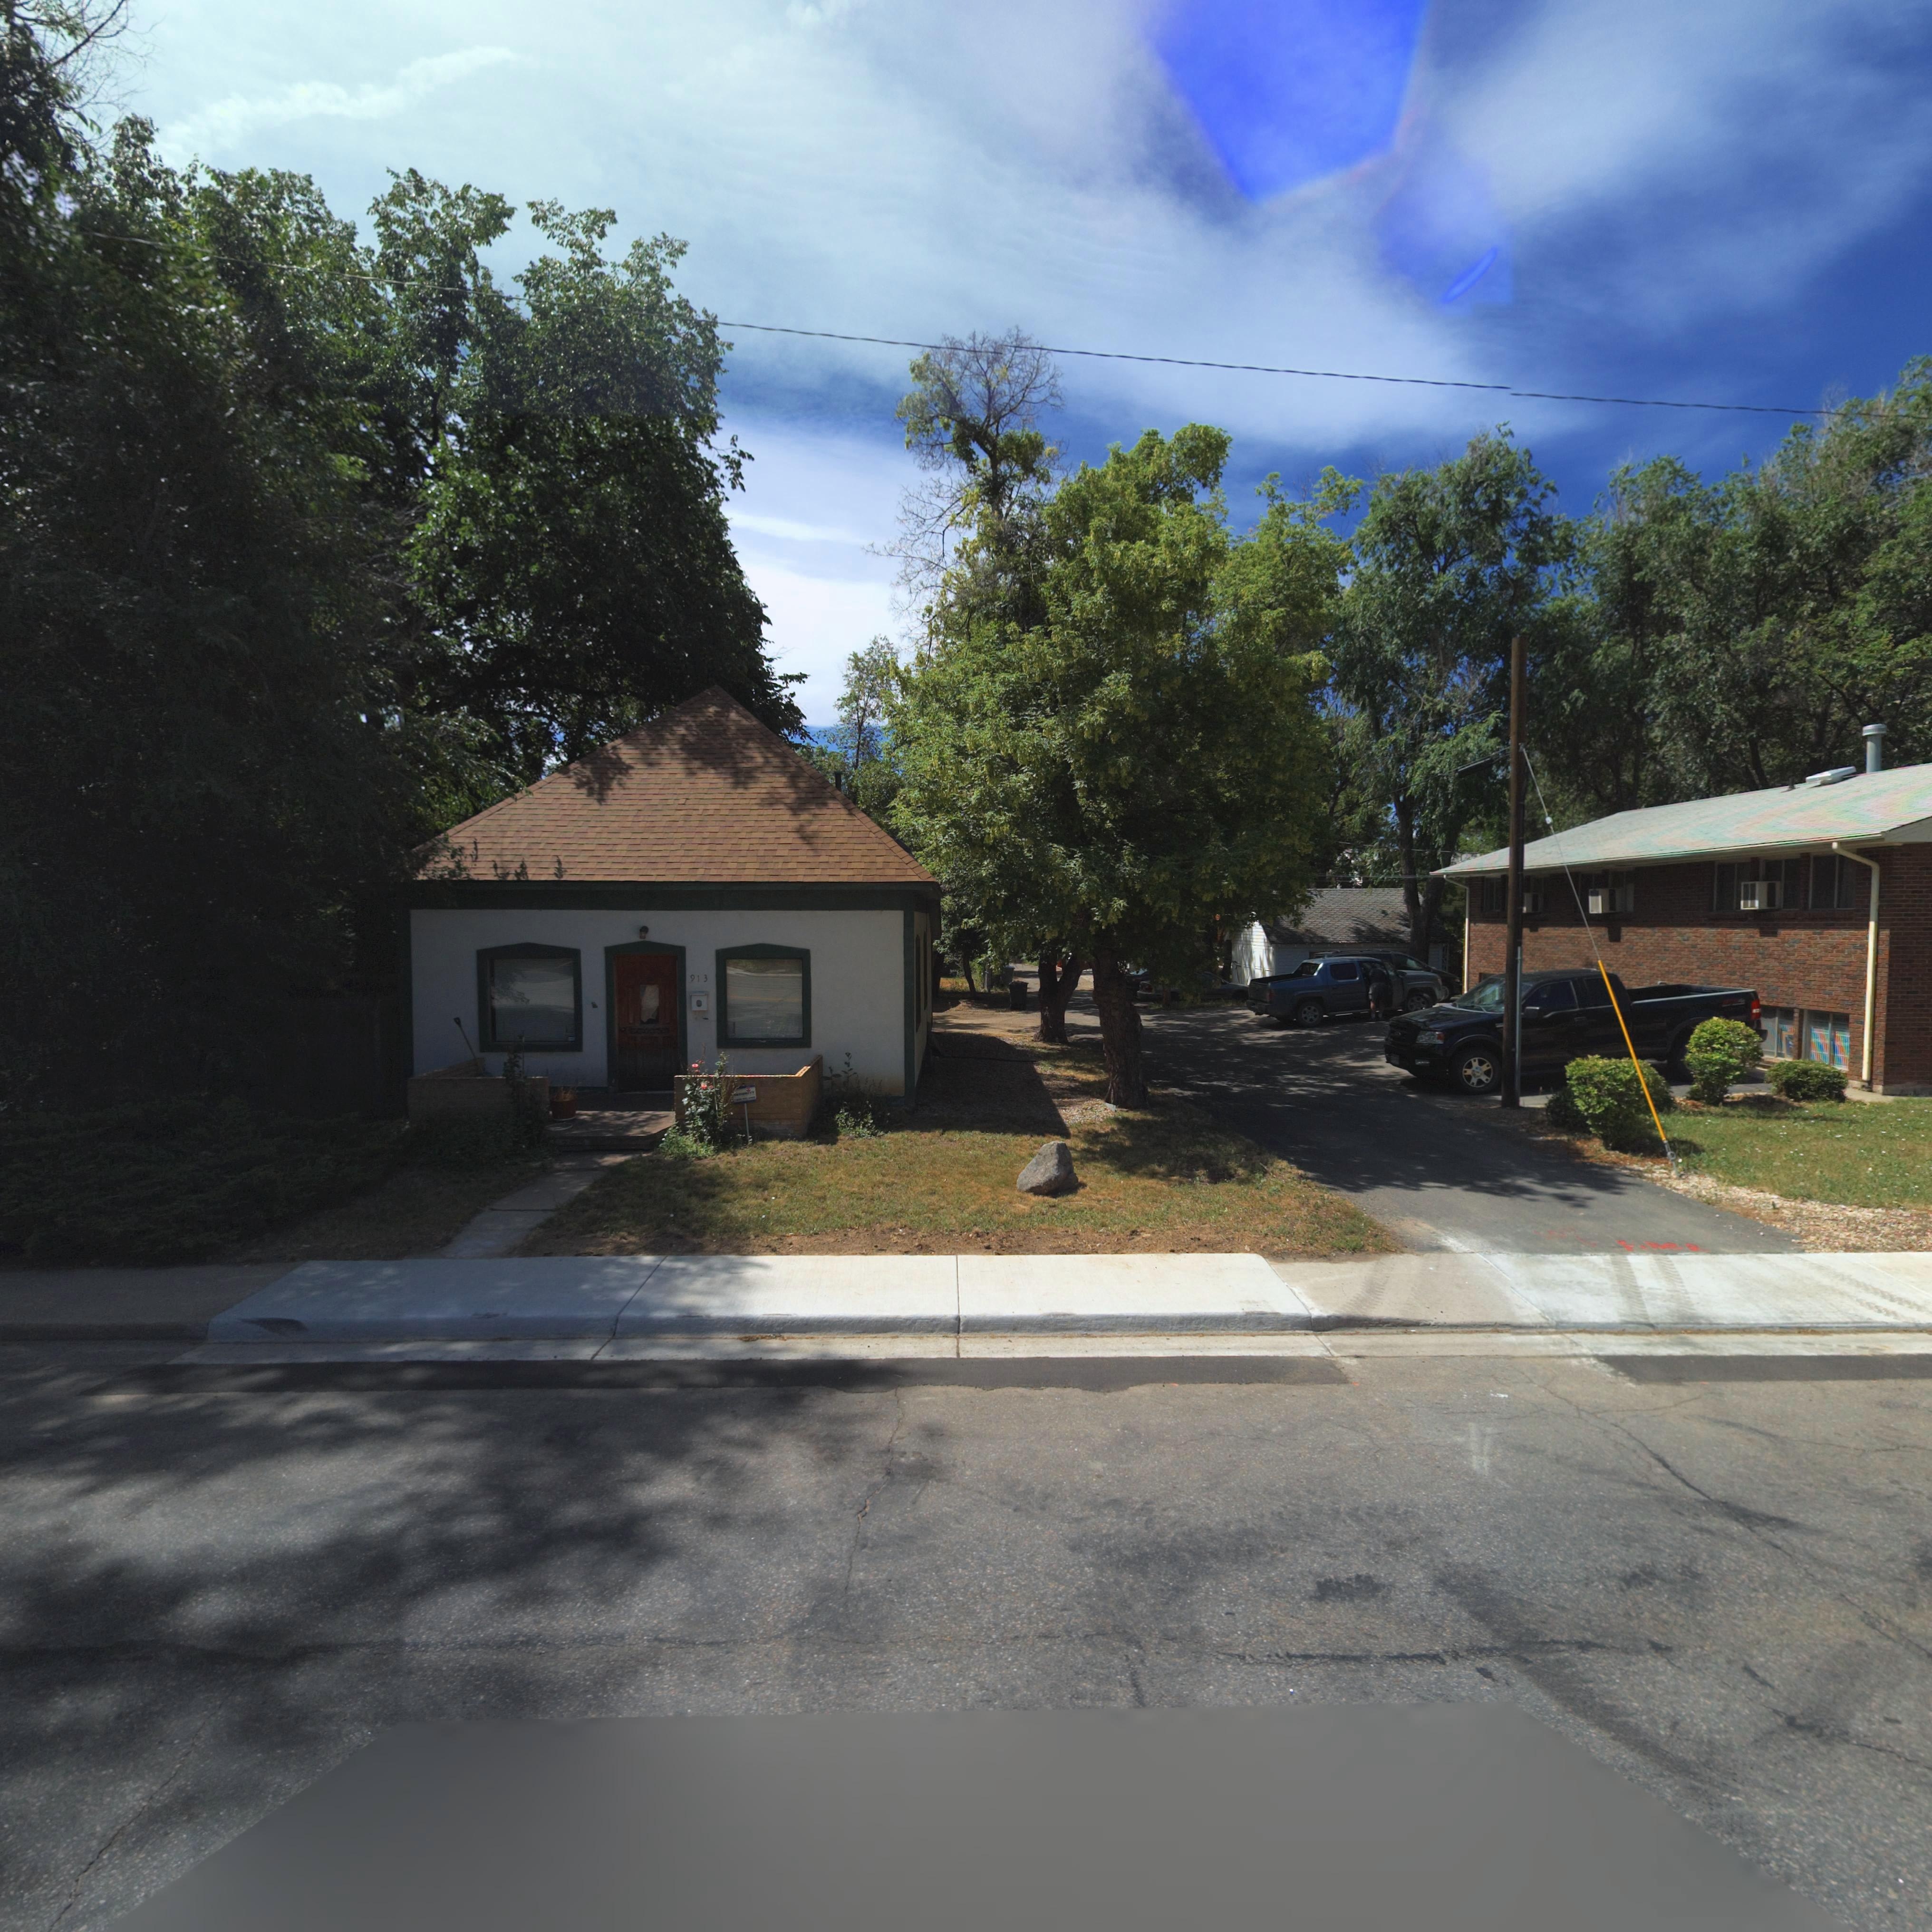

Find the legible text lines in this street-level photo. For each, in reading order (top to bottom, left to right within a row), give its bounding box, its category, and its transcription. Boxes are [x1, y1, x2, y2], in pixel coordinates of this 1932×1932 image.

[689, 974, 708, 982] StreetNumber: 913